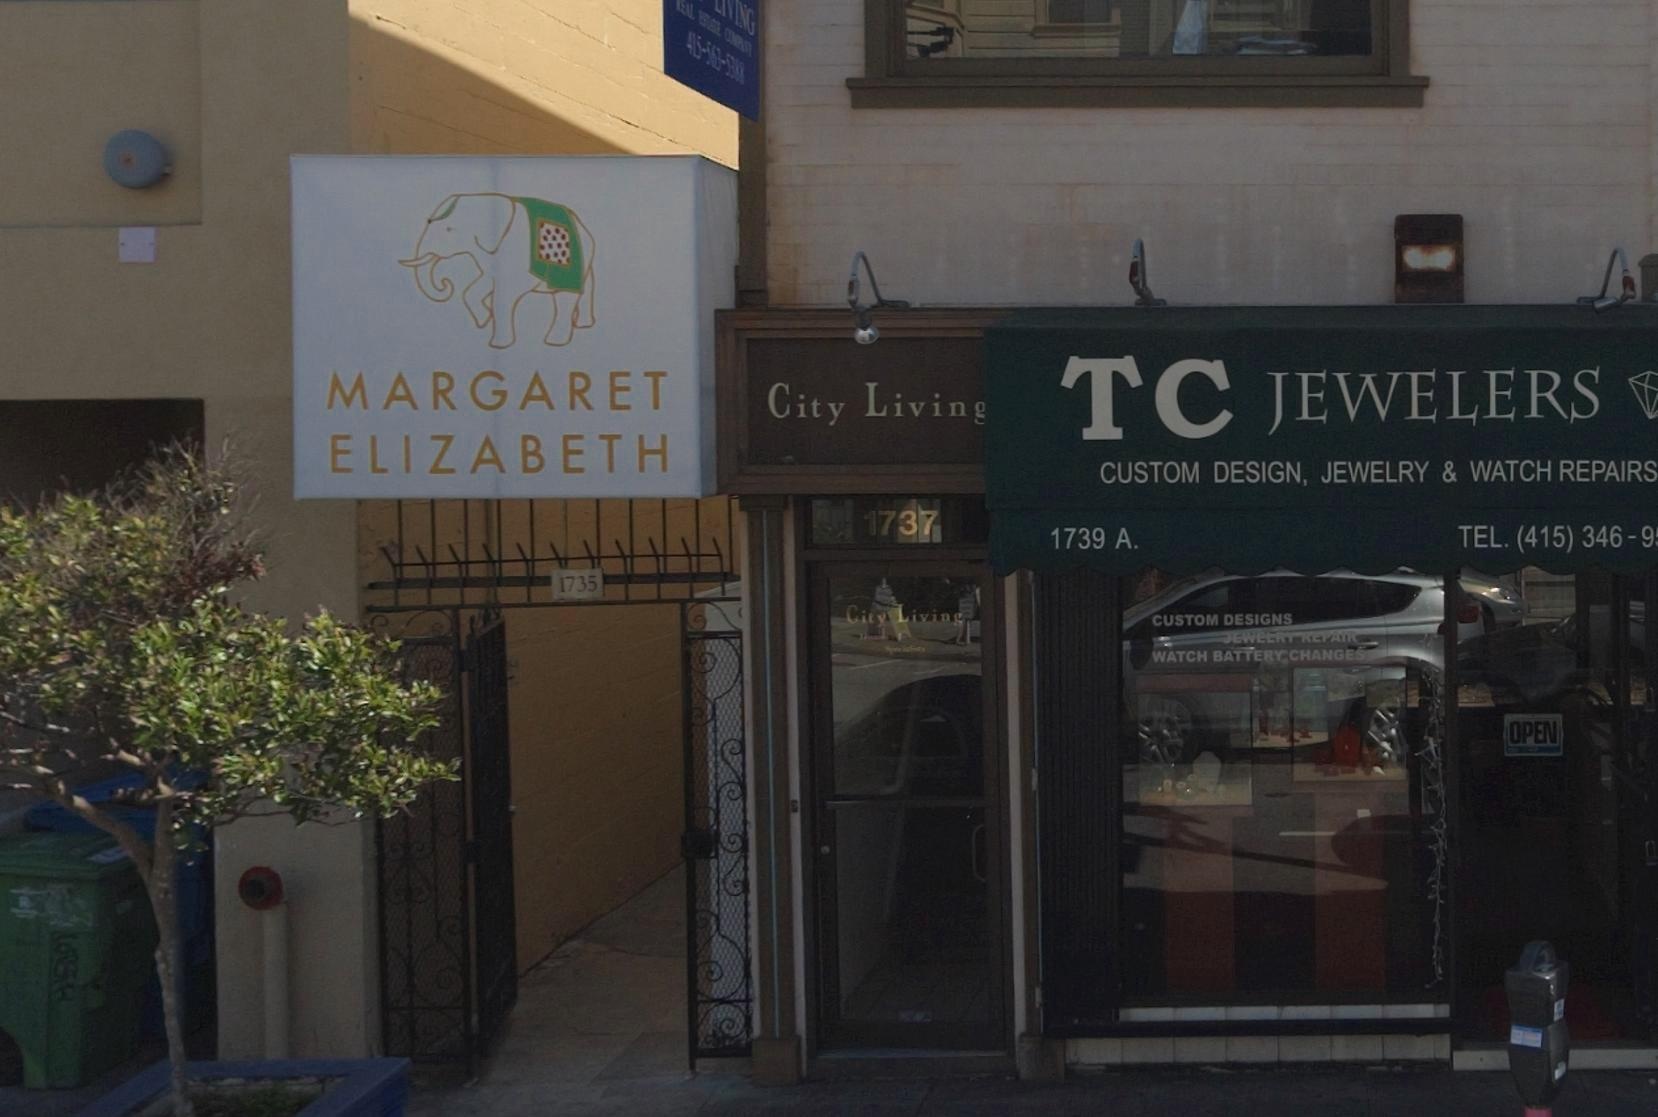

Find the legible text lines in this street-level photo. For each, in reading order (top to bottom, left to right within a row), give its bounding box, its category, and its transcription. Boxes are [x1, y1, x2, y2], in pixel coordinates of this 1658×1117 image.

[684, 0, 753, 60] None: AL ESTATE COMPANY
[734, 0, 757, 38] BusinessName: ING
[685, 28, 746, 84] None: 415-563-53**
[326, 370, 669, 410] BusinessName: MARGARET
[768, 381, 986, 426] BusinessName: City Living
[1060, 355, 1600, 441] BusinessName: TC JEWELERS
[331, 434, 668, 475] BusinessName: ELIZABETH
[1099, 459, 1658, 486] None: CUSTOM DESIGN, JEWELRY & WATCH REPAIRS
[863, 510, 939, 536] StreetNumber: 1737
[1050, 526, 1142, 551] StreetNumber: 1739 A.
[1457, 524, 1654, 553] None: TEL. (415) 346-9
[558, 575, 598, 593] StreetNumber: 1735
[846, 603, 964, 628] BusinessName: City Living
[1151, 613, 1293, 626] None: CUSTOM DESIGNS
[1221, 631, 1358, 645] None: JEWELRY REPAIR
[1151, 648, 1365, 663] None: WATCH BATTERY CHANGES
[1509, 720, 1558, 745] None: OPEN